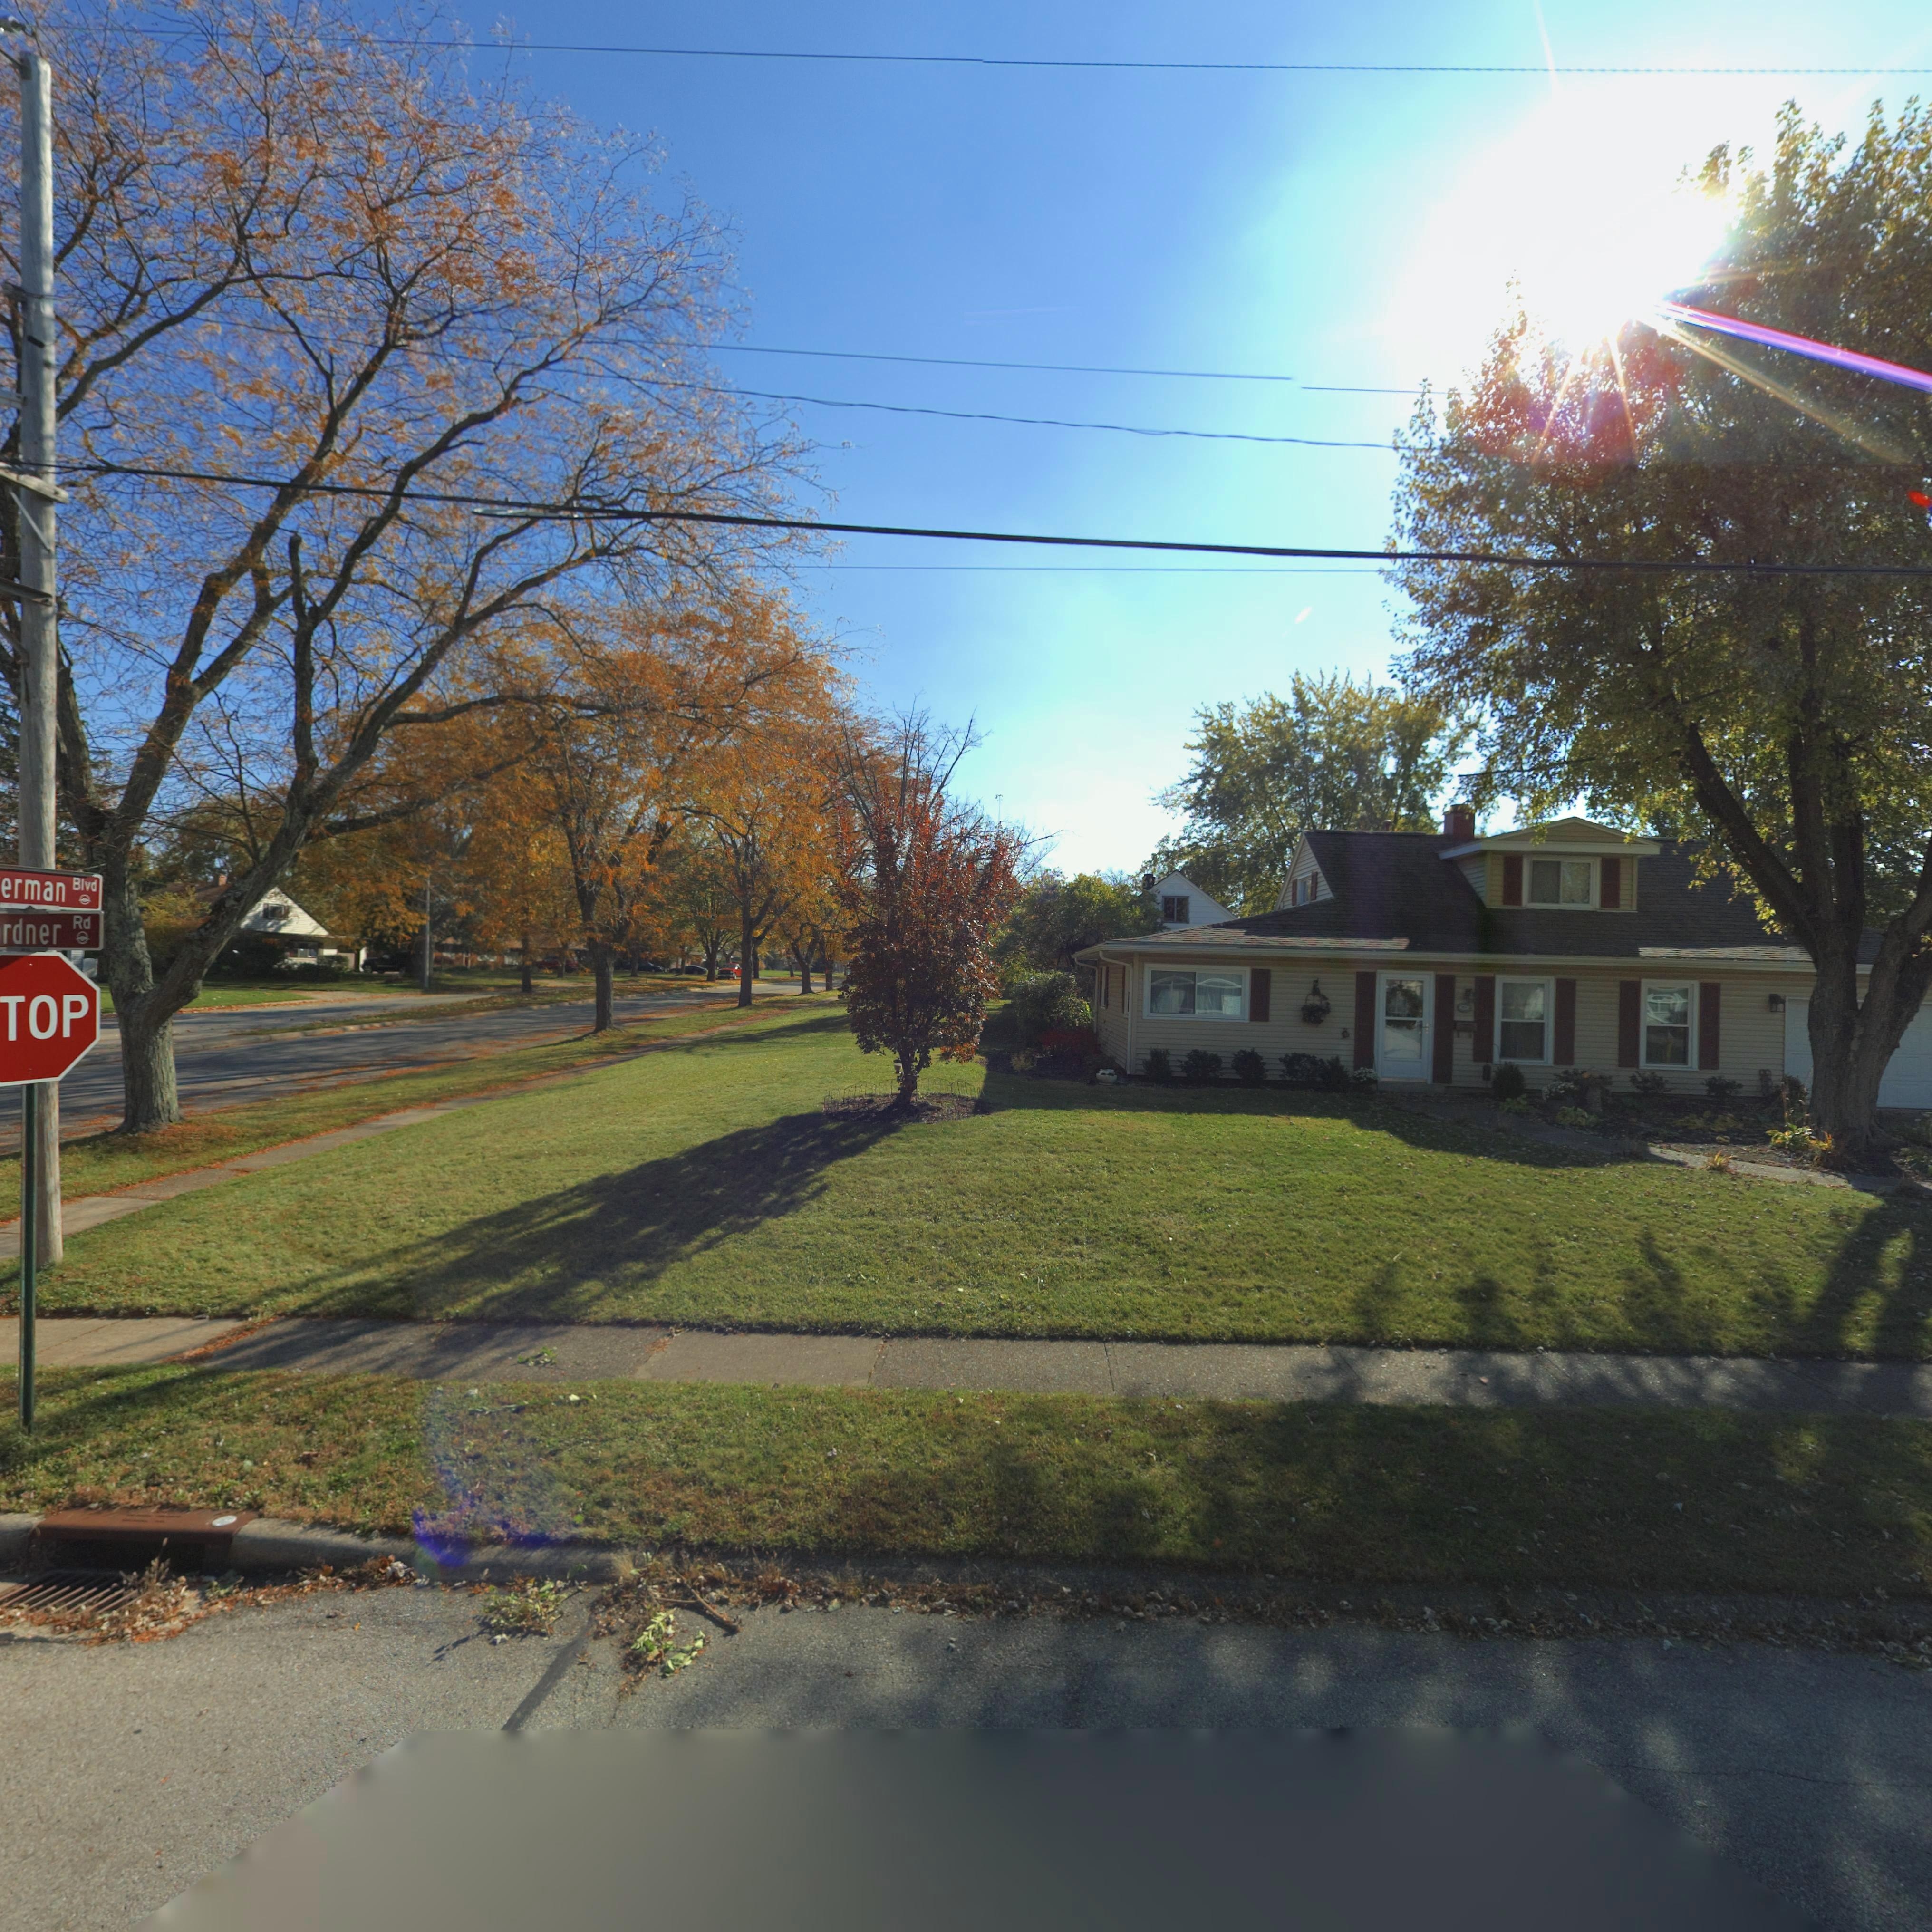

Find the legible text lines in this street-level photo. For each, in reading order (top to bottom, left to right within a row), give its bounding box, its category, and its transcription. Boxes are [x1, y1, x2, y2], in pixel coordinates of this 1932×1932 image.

[0, 874, 99, 905] StreetName: erman Blvd
[0, 913, 92, 947] StreetName: rdner Rd
[0, 992, 92, 1043] None: TOP